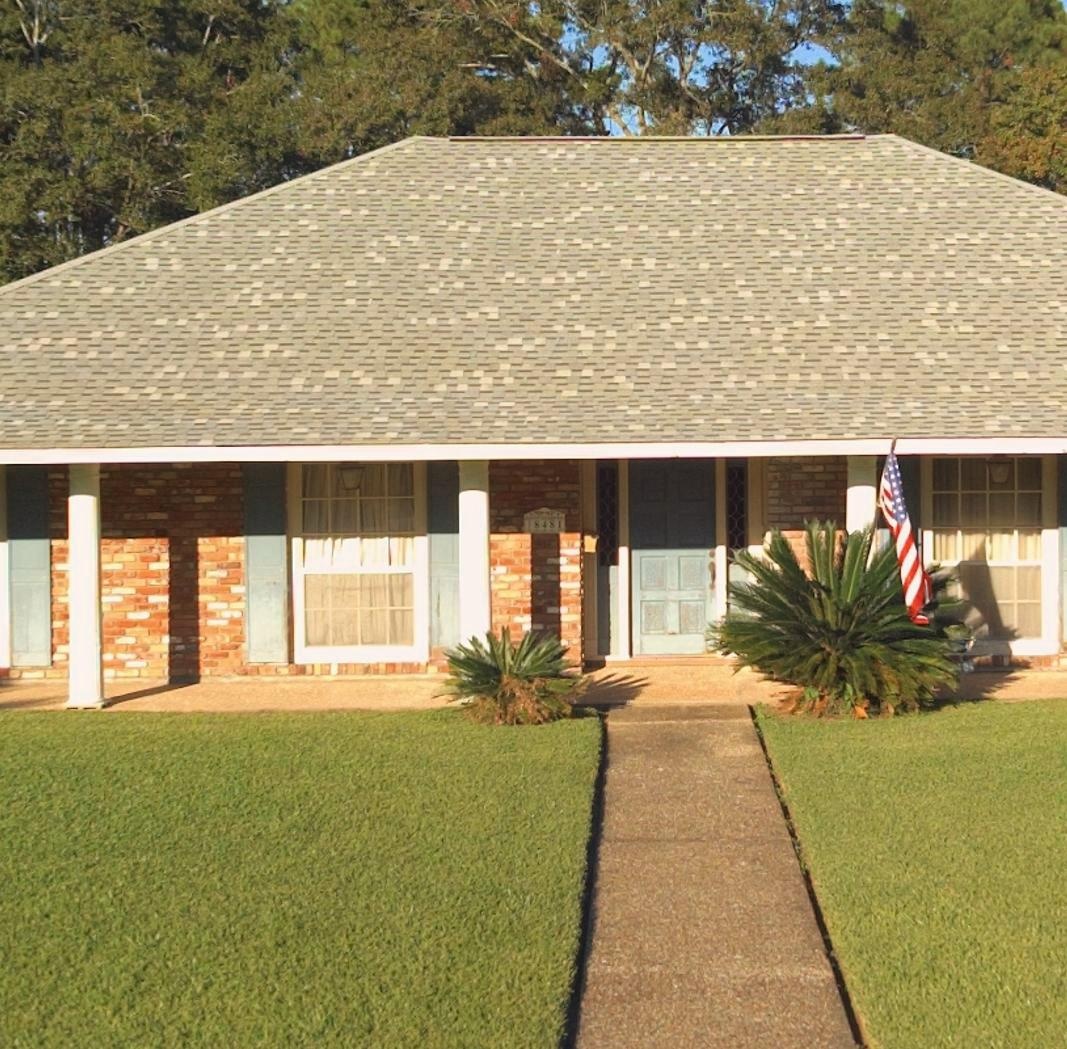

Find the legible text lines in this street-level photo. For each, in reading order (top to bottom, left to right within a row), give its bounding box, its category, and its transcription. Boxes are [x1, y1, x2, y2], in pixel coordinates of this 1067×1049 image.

[532, 518, 563, 530] StreetNumber: 8481